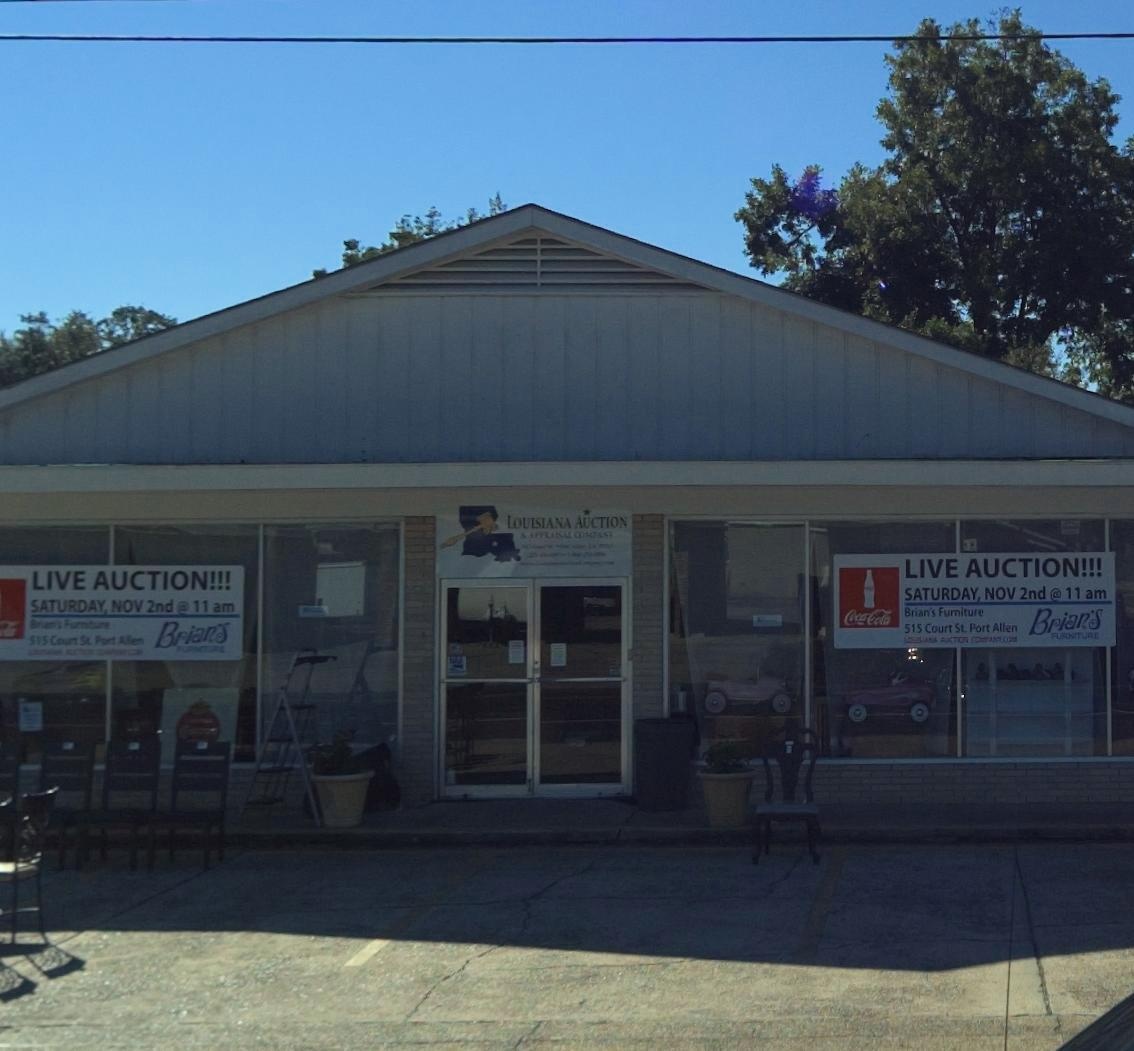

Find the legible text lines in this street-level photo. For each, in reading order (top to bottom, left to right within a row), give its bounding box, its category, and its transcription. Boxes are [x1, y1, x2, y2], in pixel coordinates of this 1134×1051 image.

[506, 513, 629, 529] BusinessName: LOUISIANA AUCTION
[520, 529, 616, 541] BusinessName: & APPRAISAL COMPANY
[905, 557, 1103, 579] None: LIVE AUCTION!!!
[31, 570, 231, 591] None: LIVE AUCTION!!!
[904, 585, 1108, 602] None: SATURDAY, NOV 2nd @ 11 am
[28, 617, 111, 631] None: Brian's Furniture
[28, 634, 146, 647] None: 515 Court St. Port Allen
[30, 597, 236, 614] None: SATURDAY, NOV 2nd @ 11 am
[154, 621, 232, 650] None: Brian's
[843, 608, 893, 627] None: Coca-Cola
[904, 606, 985, 618] None: Brian's Furniture
[904, 621, 1018, 634] None: 515 Court St. Port Allen
[1027, 606, 1105, 636] None: Brian's
[1051, 632, 1100, 640] None: FURNITURE